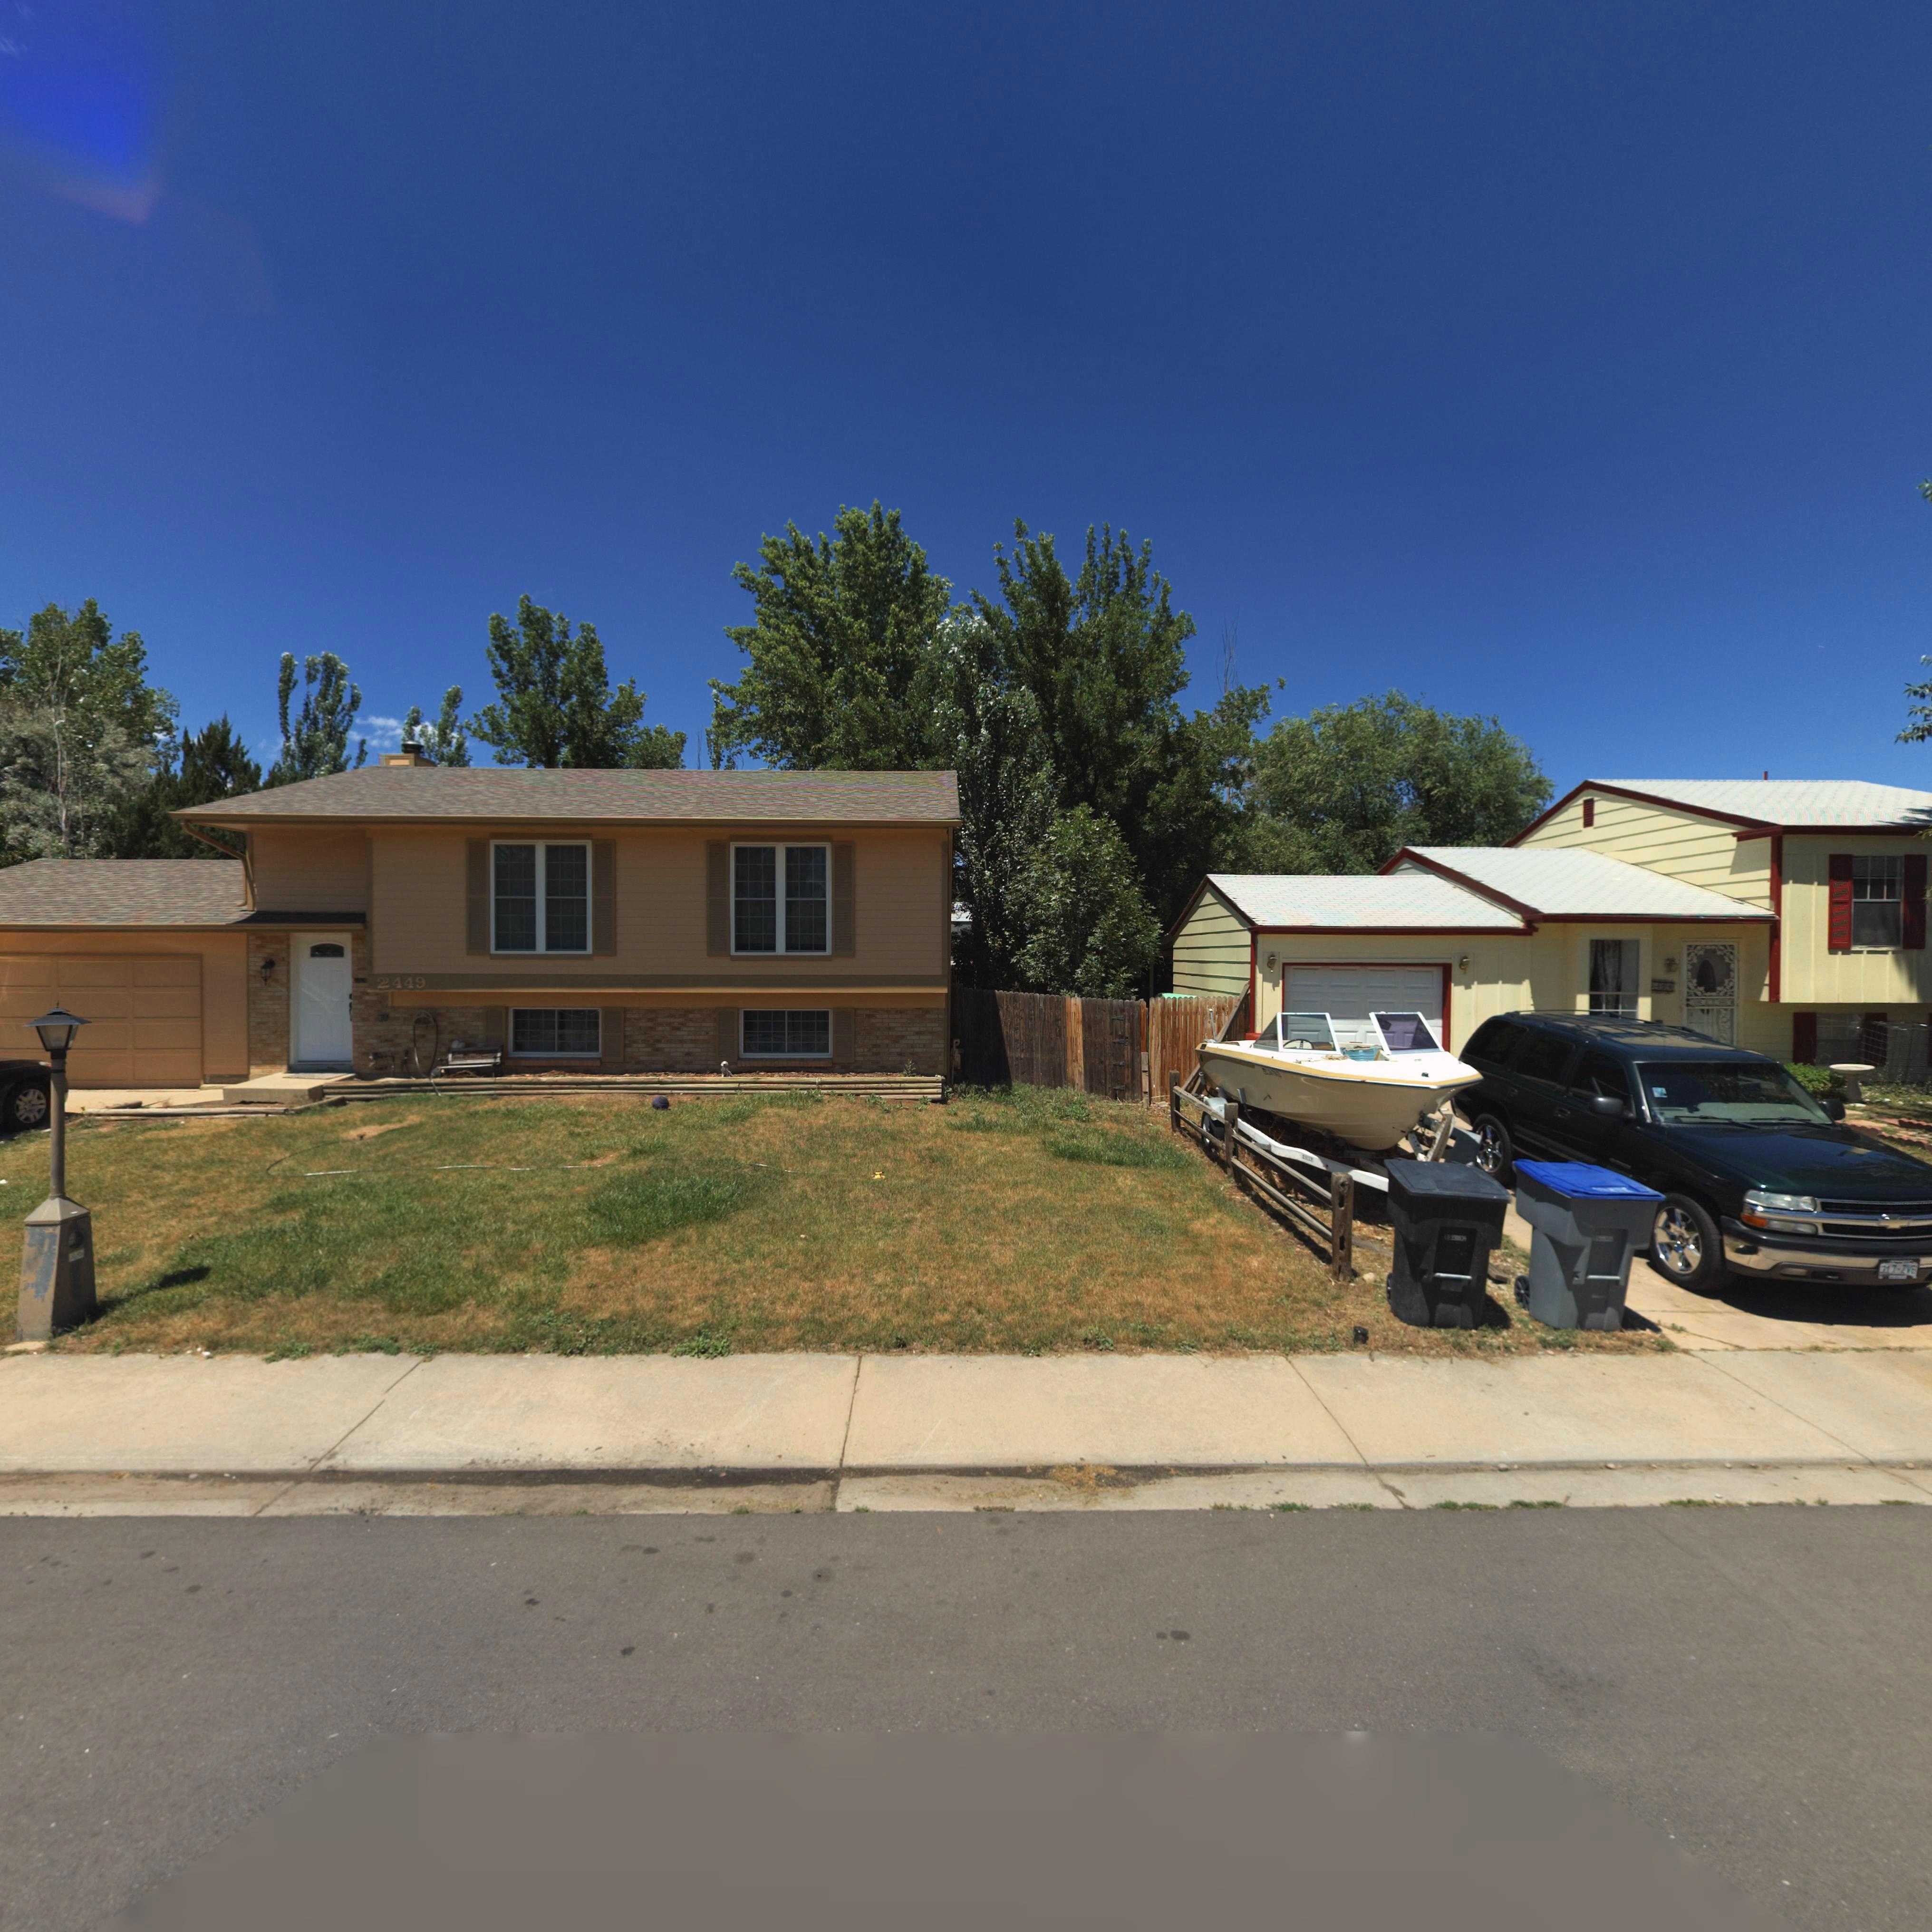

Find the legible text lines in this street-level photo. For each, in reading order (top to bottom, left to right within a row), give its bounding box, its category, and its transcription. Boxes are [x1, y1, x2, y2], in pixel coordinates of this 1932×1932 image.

[377, 976, 426, 988] StreetNumber: *449